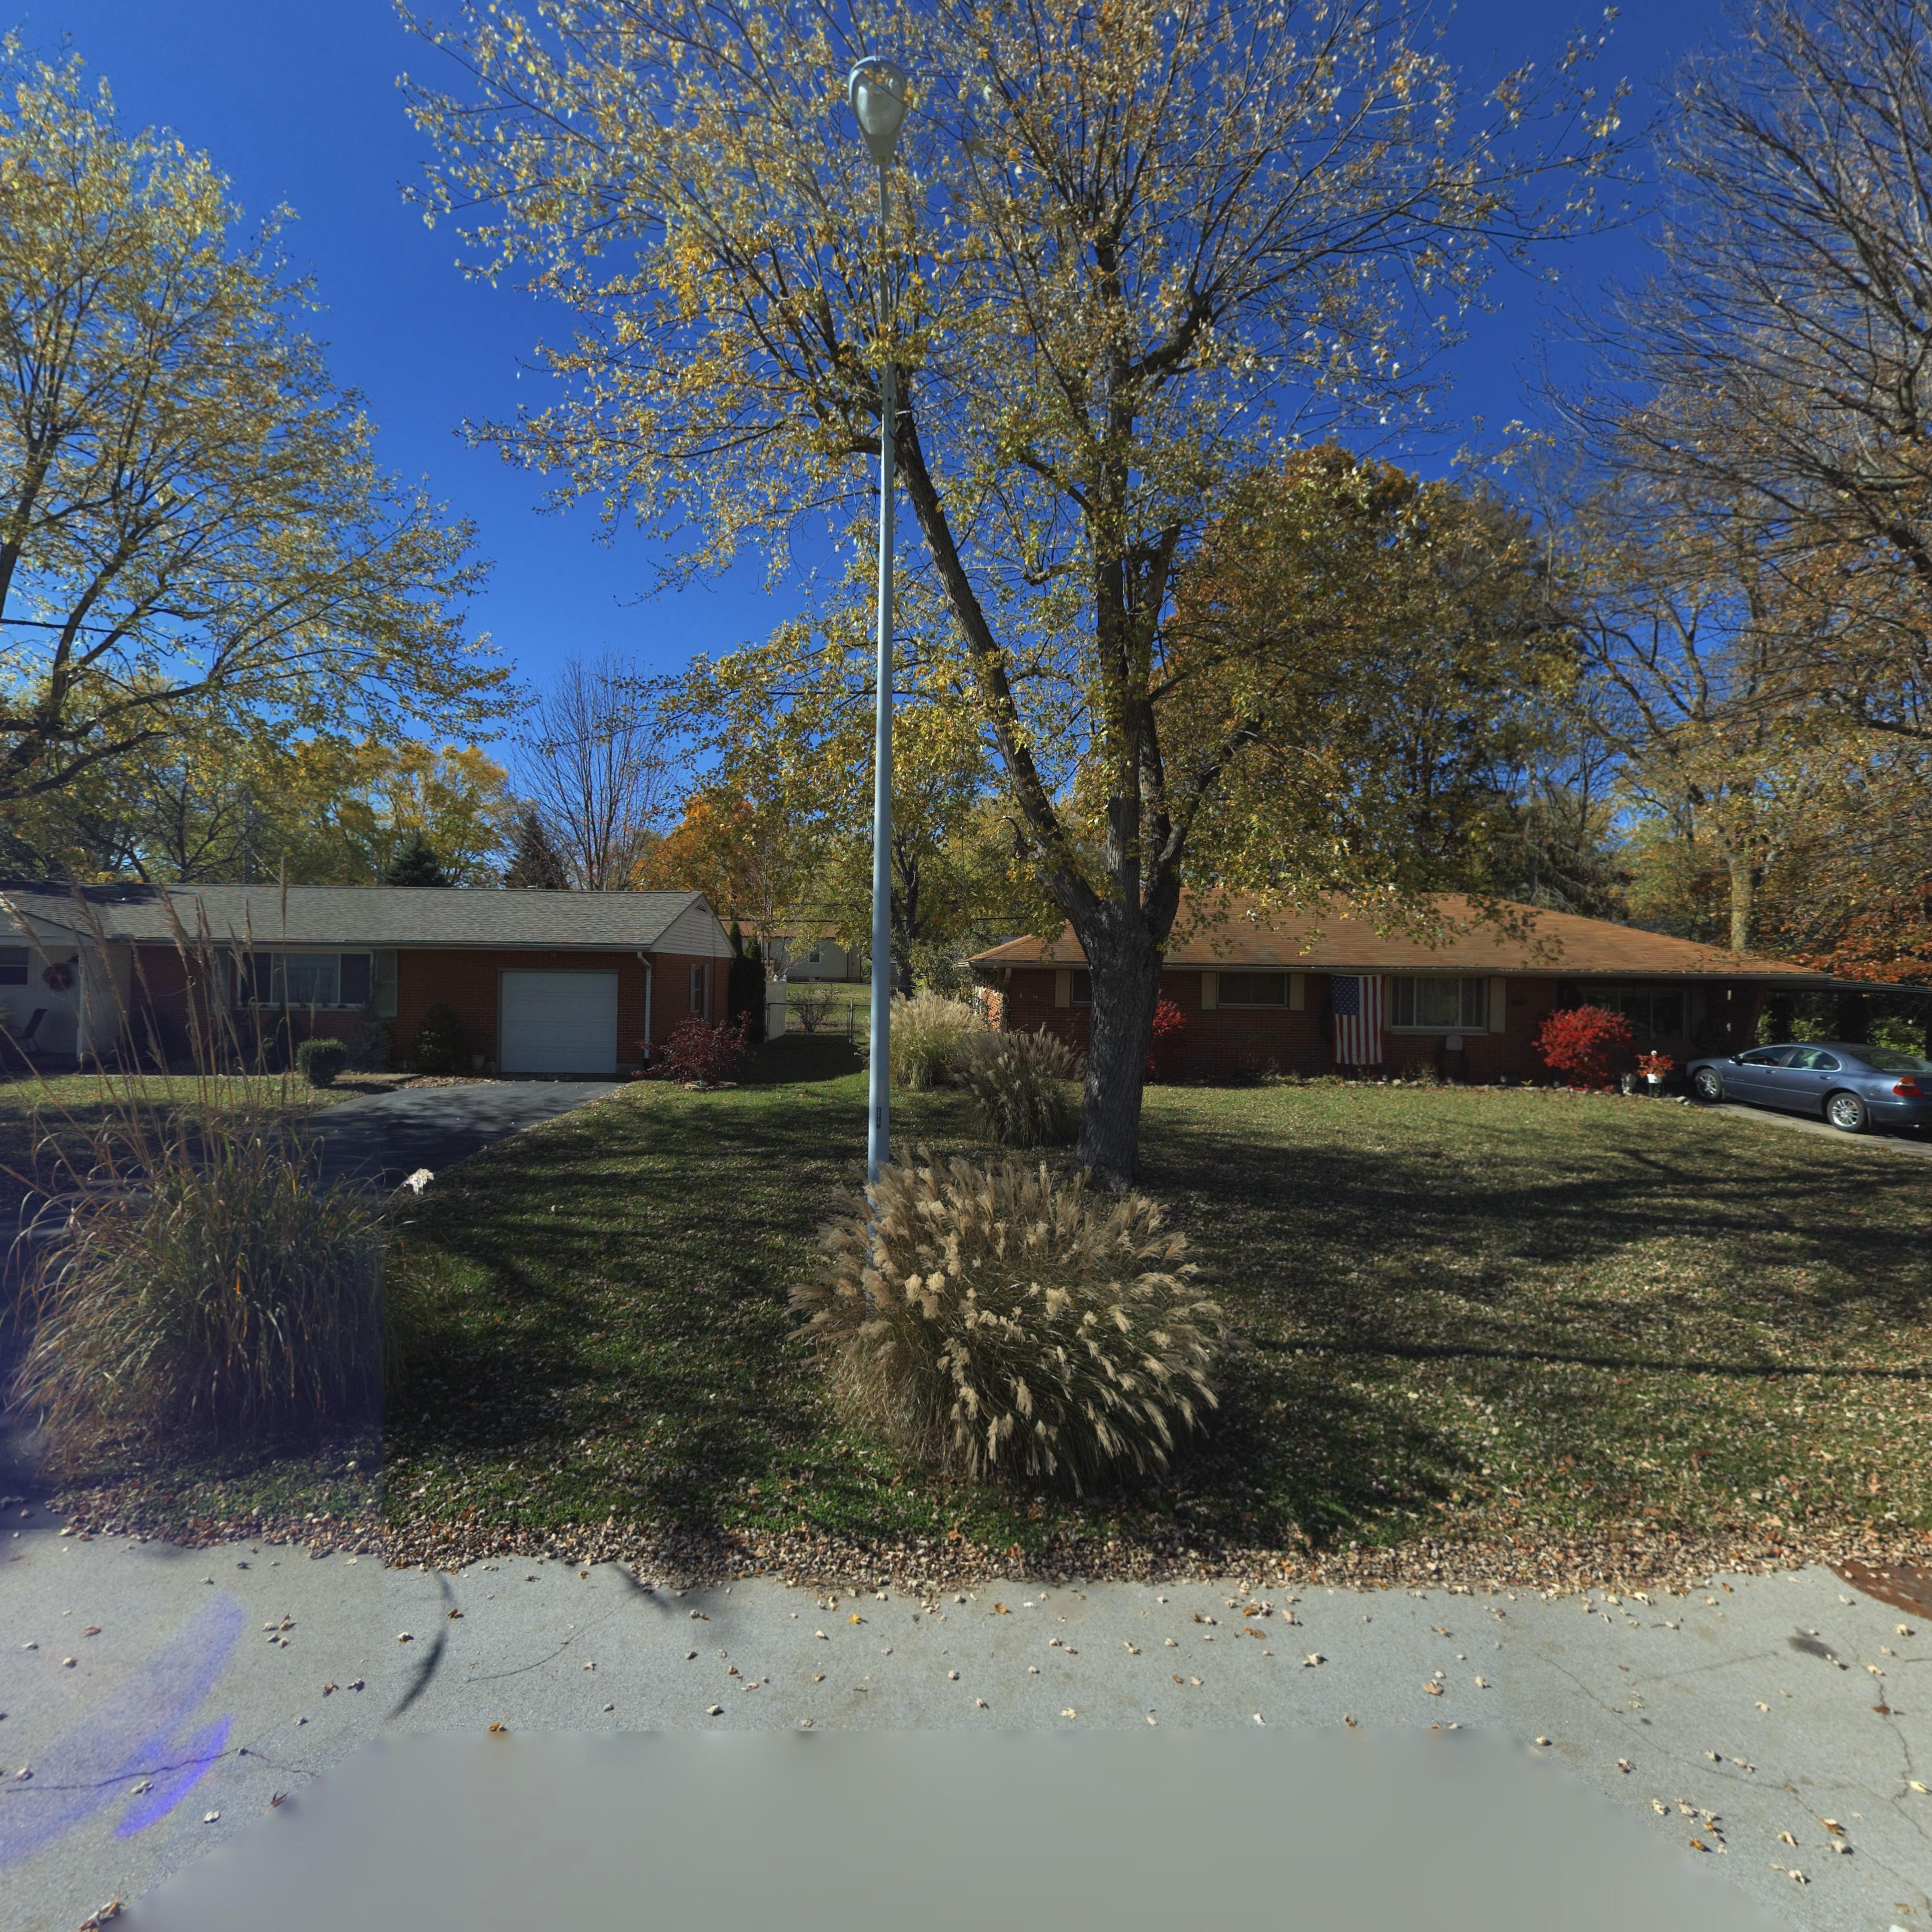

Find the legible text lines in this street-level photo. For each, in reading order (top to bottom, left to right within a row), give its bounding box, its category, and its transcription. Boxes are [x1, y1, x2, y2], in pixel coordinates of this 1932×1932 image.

[78, 957, 84, 974] StreetNumber: 17